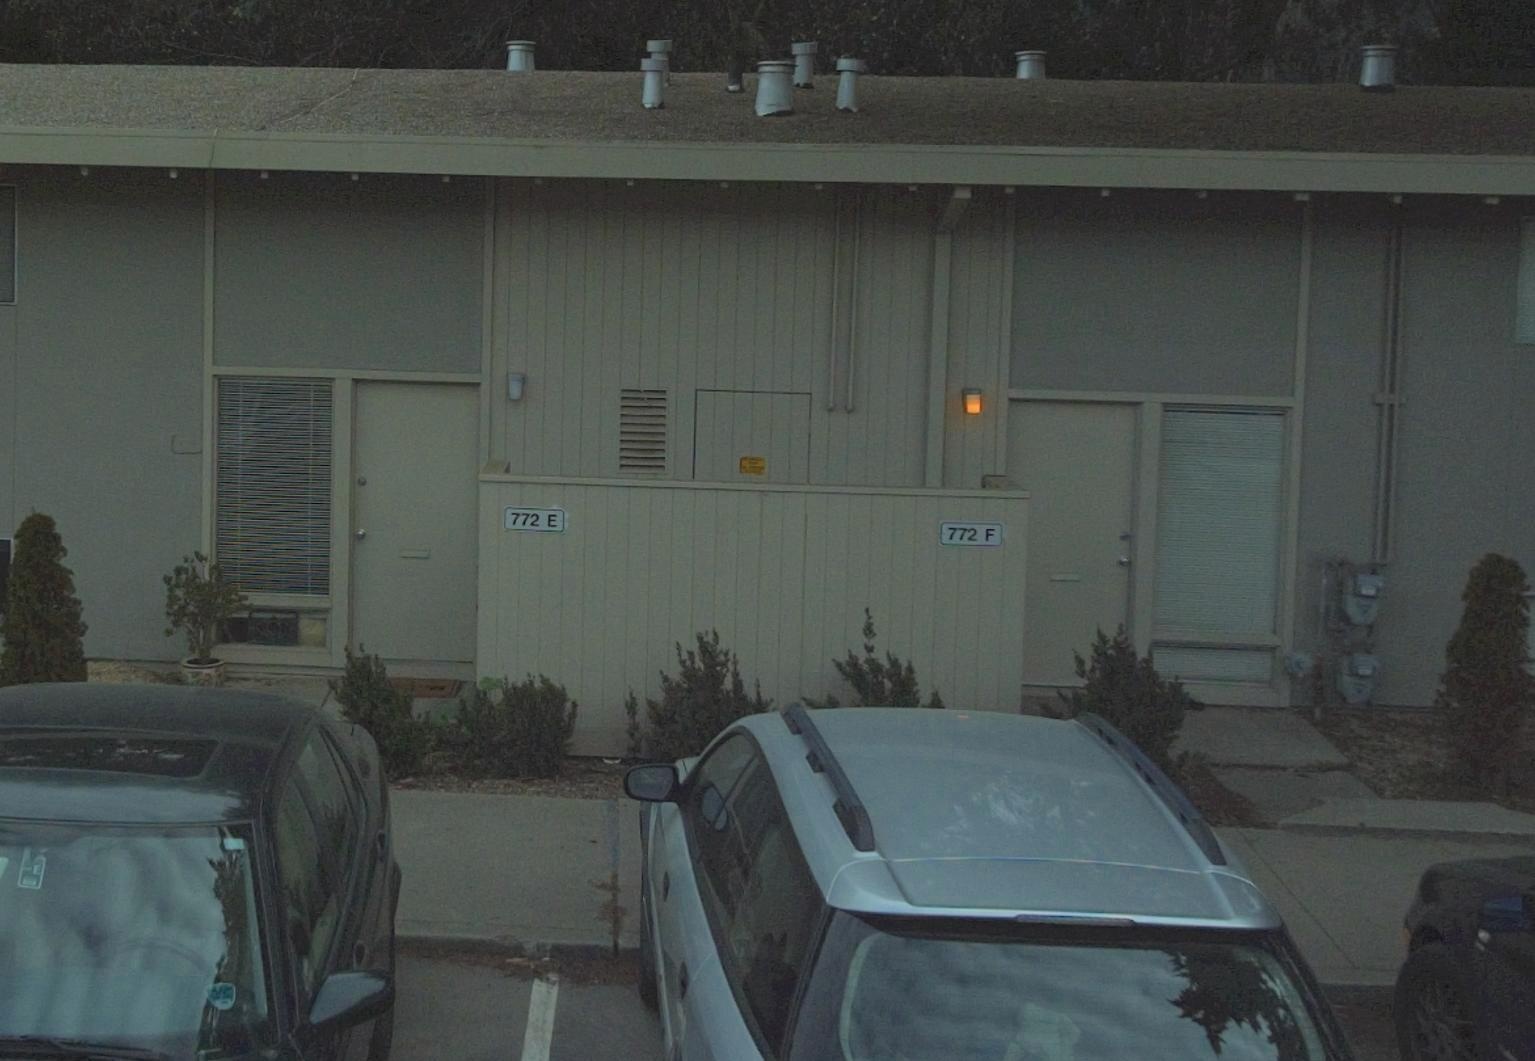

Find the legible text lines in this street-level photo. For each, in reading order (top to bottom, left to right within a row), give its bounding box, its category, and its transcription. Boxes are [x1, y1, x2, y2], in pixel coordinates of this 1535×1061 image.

[510, 511, 558, 528] StreetNumber: 722 E
[947, 527, 996, 543] StreetNumber: 772 F